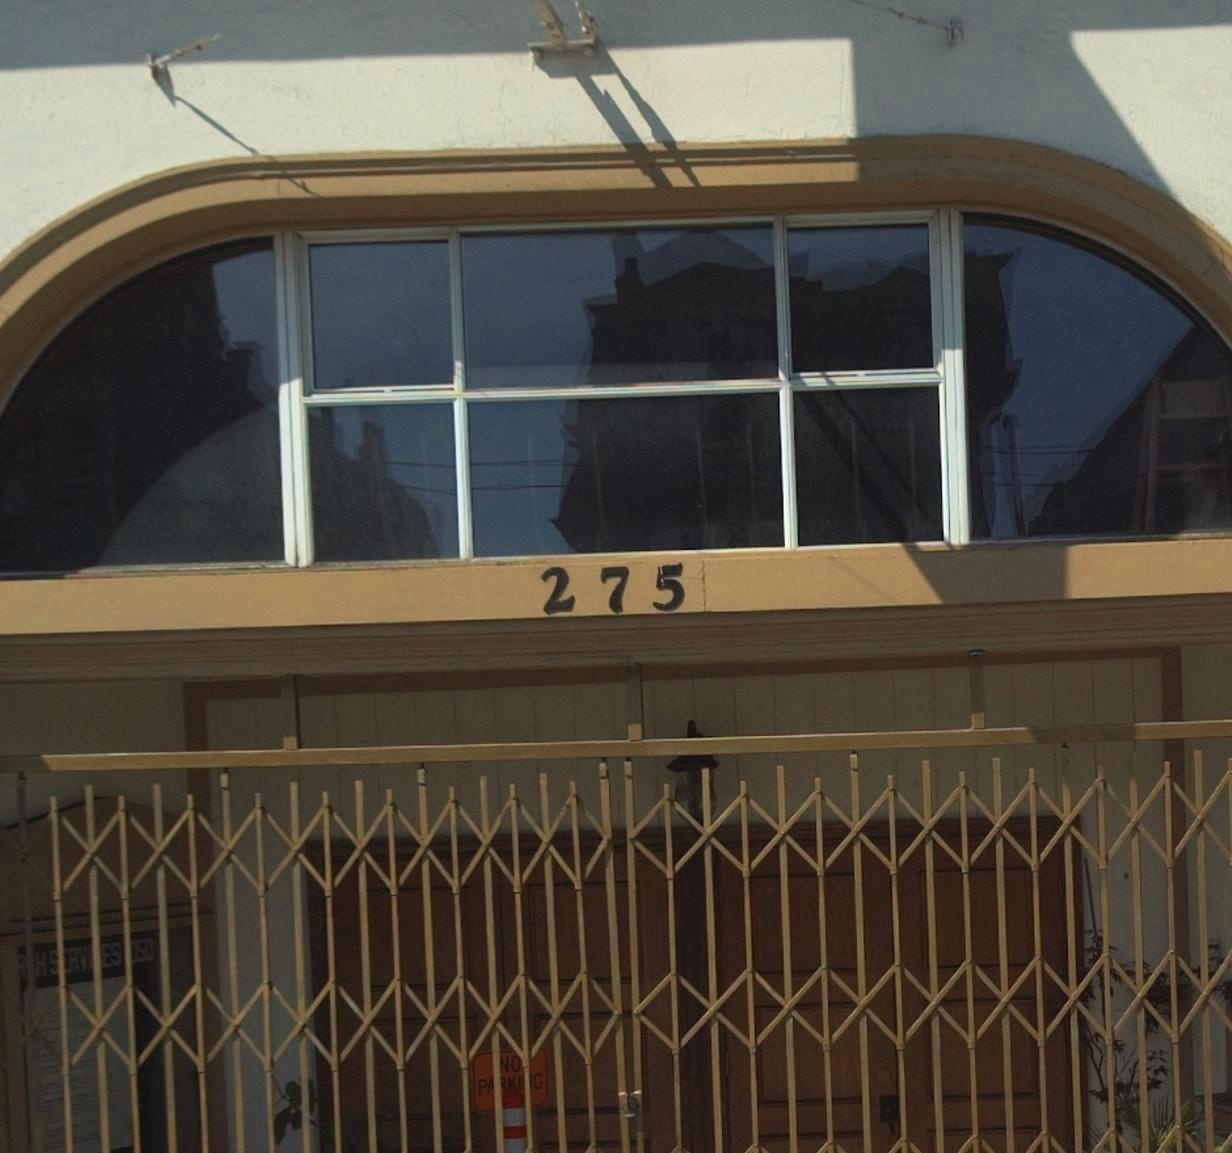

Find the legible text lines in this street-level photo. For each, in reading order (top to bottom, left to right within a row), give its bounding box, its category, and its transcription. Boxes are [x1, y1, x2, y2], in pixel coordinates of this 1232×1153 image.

[536, 558, 690, 617] StreetNumber: 275